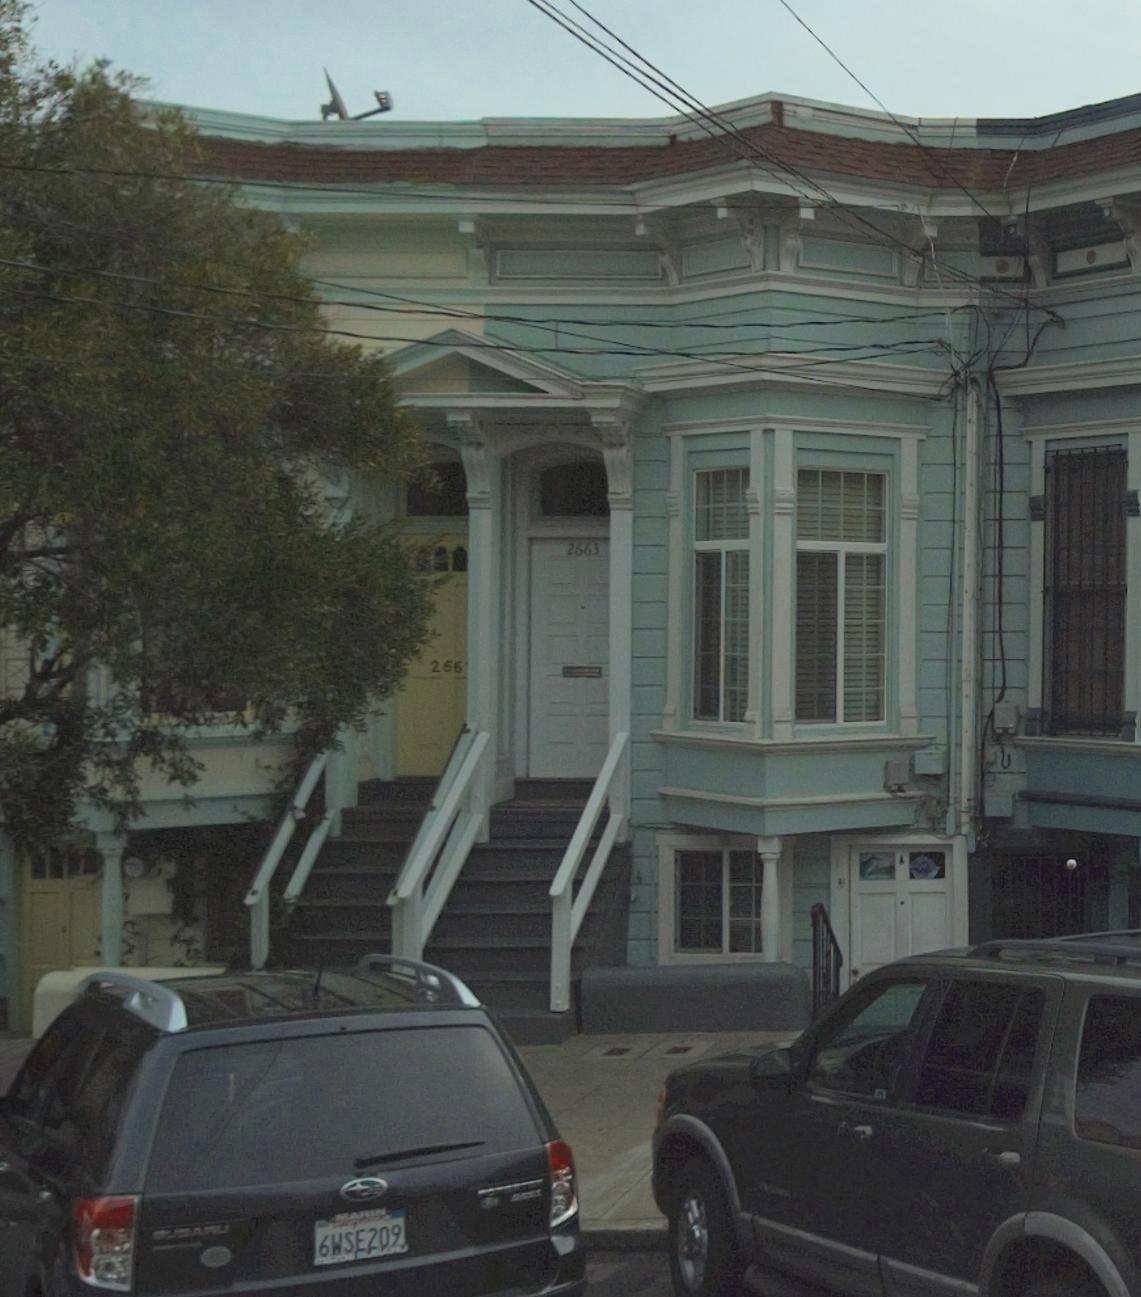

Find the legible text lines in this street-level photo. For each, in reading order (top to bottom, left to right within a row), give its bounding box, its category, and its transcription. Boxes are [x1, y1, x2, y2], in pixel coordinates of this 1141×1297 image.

[566, 541, 601, 557] StreetNumber: 2663
[428, 659, 469, 674] StreetNumber: 266*
[317, 1222, 403, 1259] None: 6WSE209